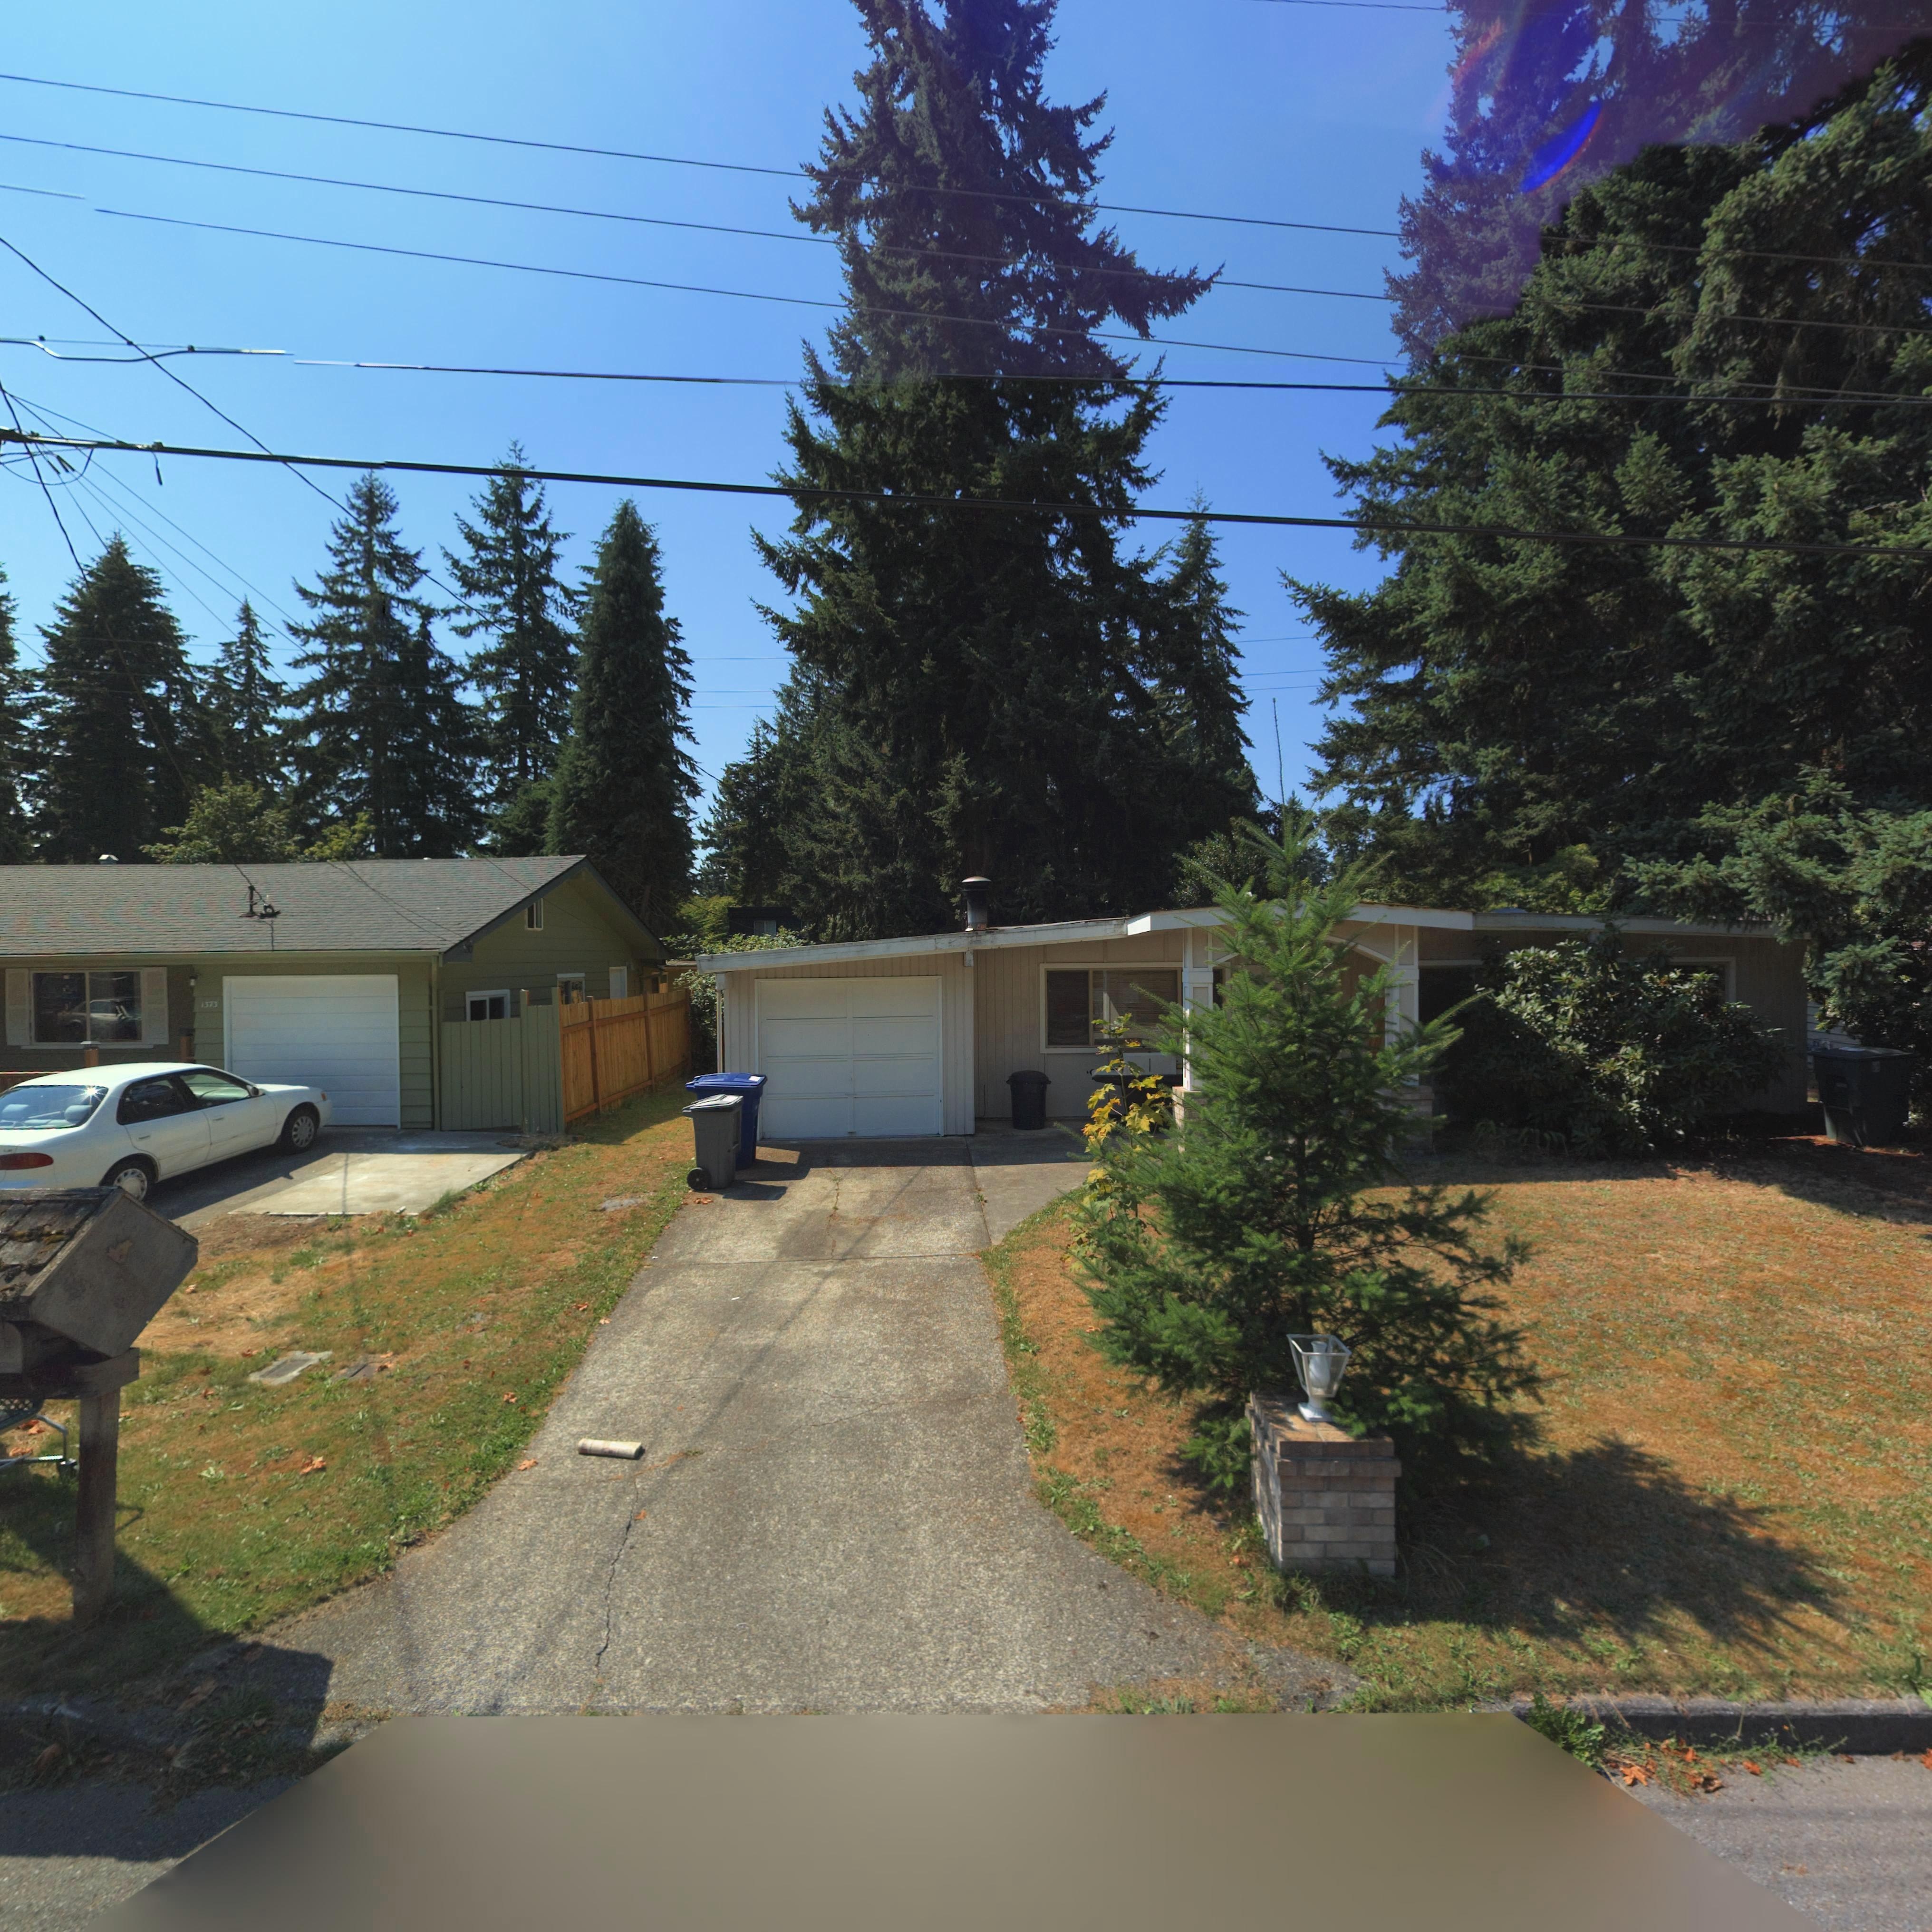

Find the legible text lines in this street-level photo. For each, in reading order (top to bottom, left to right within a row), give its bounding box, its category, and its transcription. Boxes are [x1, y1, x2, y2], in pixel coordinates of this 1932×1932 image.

[201, 1001, 218, 1008] StreetNumber: 1373